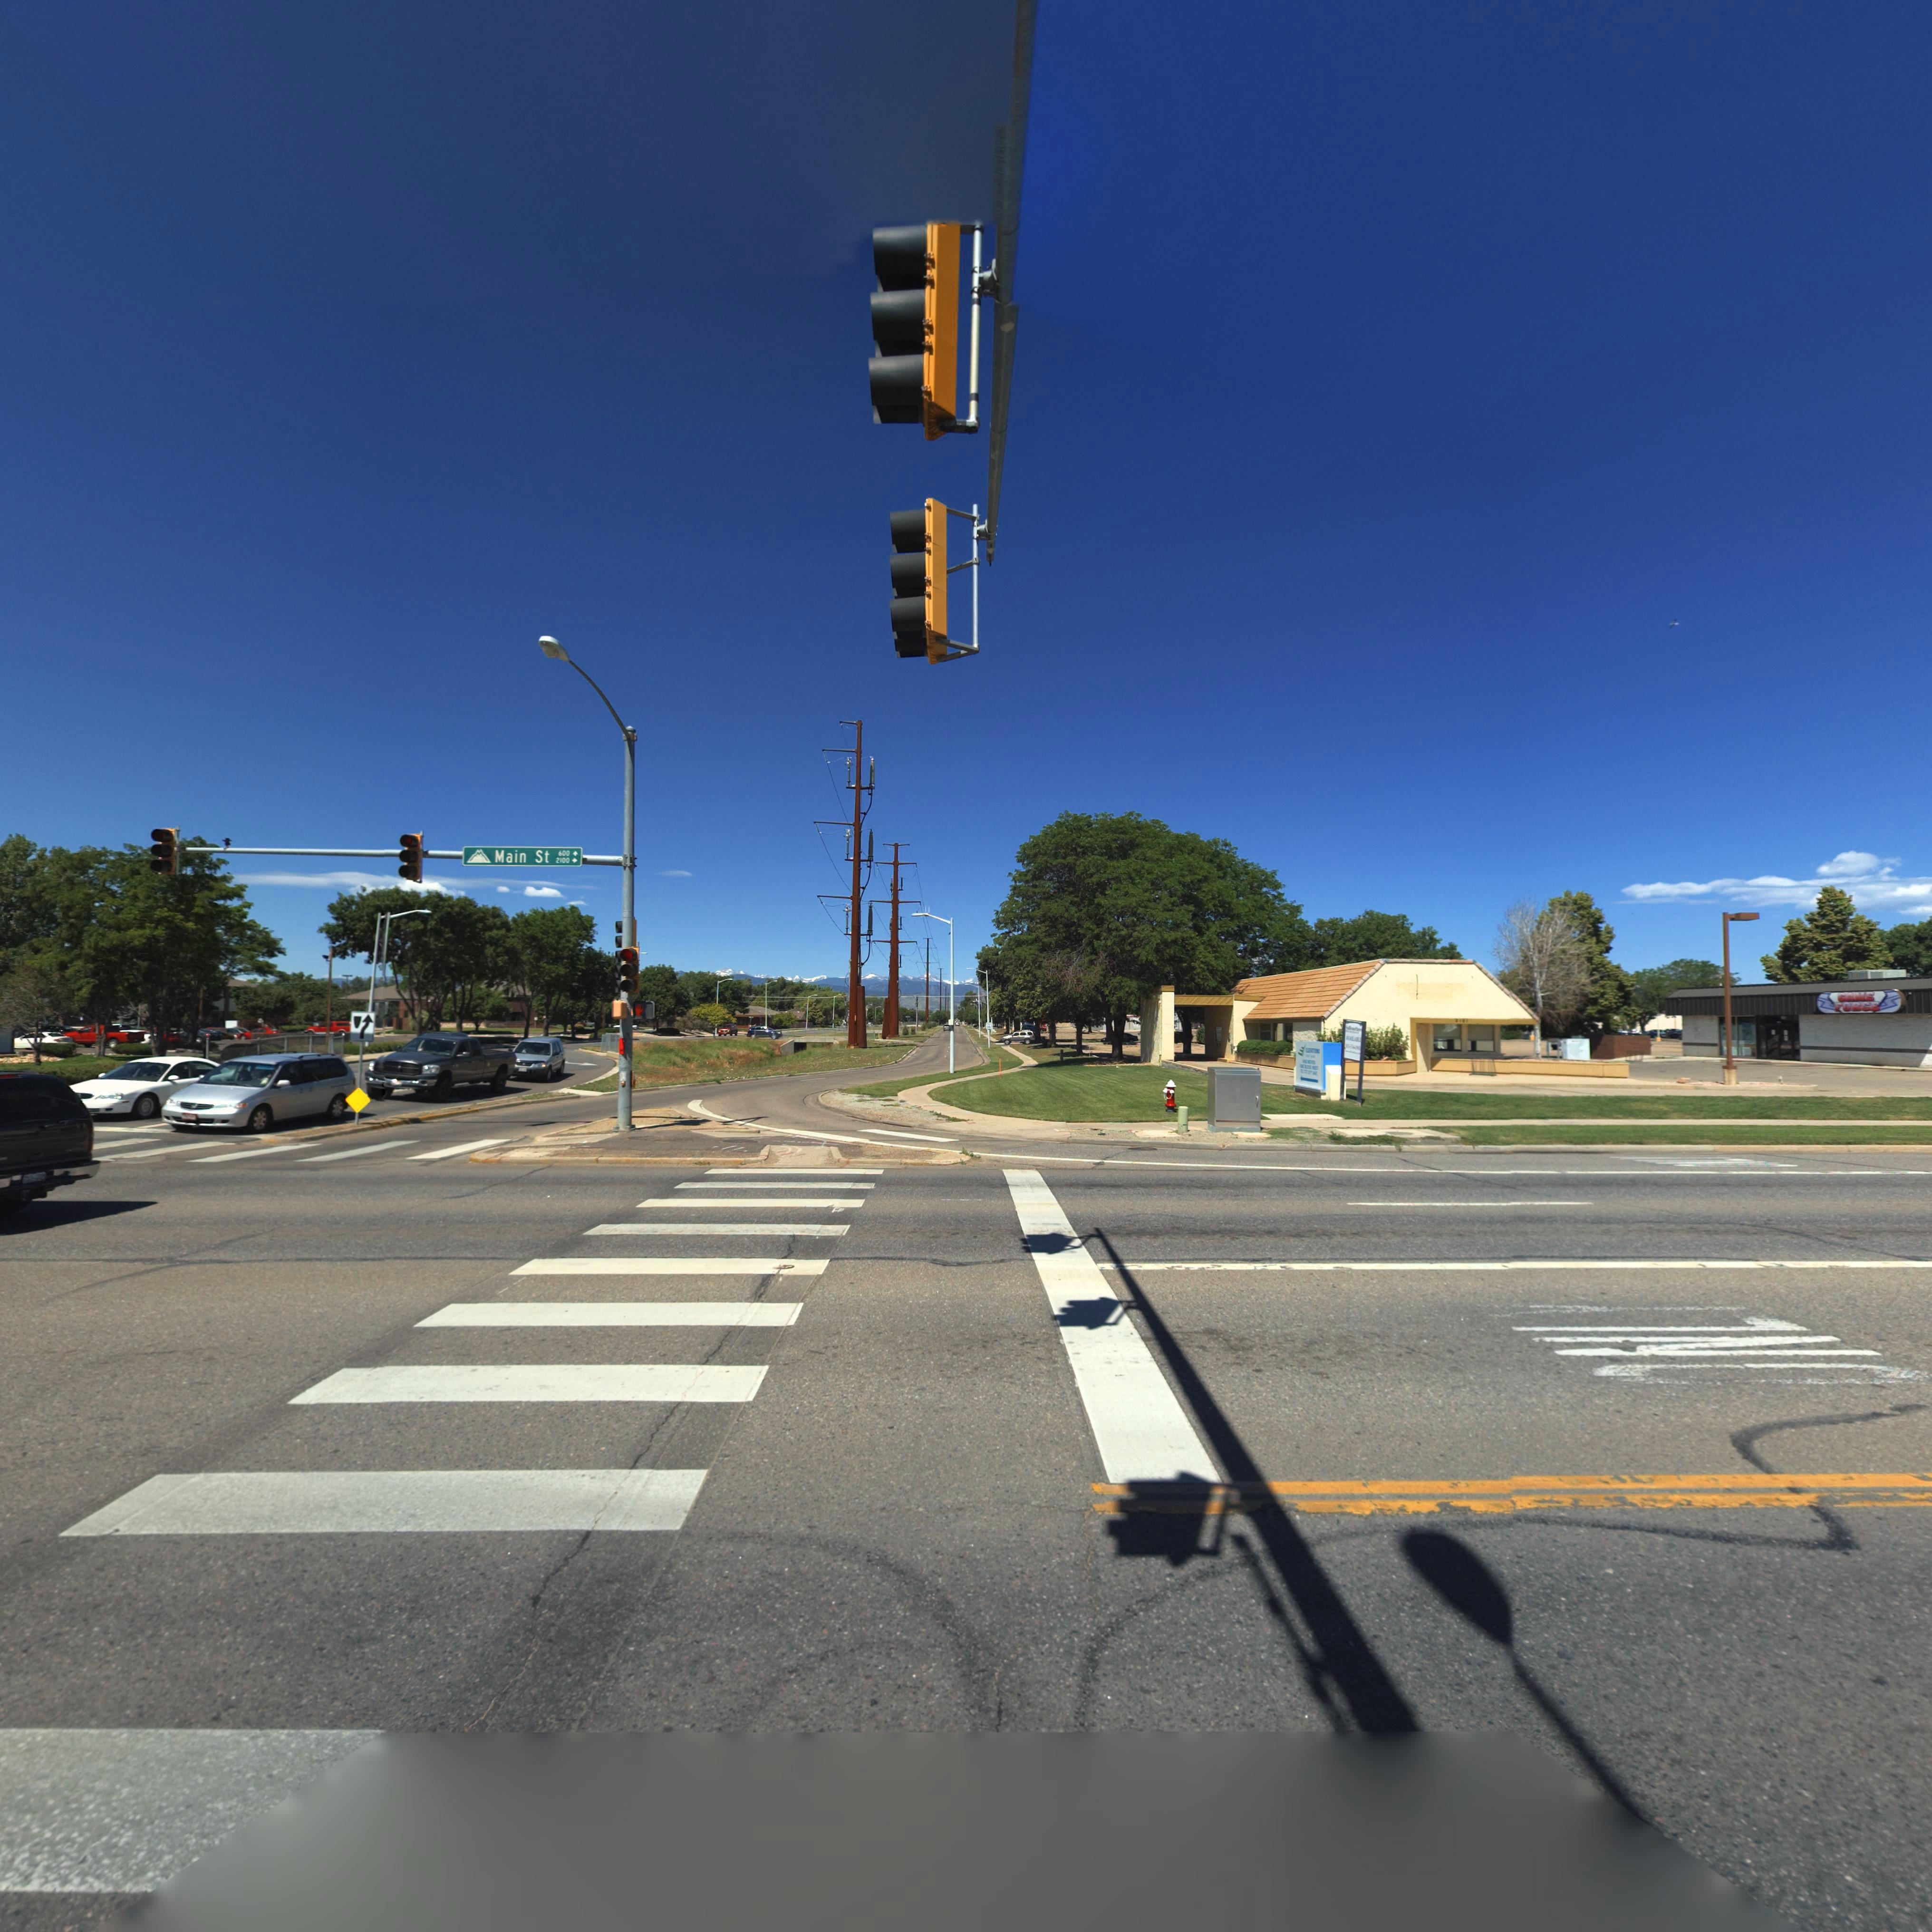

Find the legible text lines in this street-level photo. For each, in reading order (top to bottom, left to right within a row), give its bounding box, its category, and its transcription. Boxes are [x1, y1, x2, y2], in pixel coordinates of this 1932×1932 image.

[557, 850, 570, 856] StreetNumberRange: 600
[495, 849, 550, 863] StreetName: Main St
[555, 857, 578, 863] StreetNumberRange: 2100->
[1836, 991, 1874, 1002] BusinessName: GAME
[1833, 1001, 1881, 1011] BusinessName: FORCE
[1455, 1018, 1468, 1023] StreetNumber: 2102
[1308, 1070, 1318, 1076] StreetName: 2*** AVE